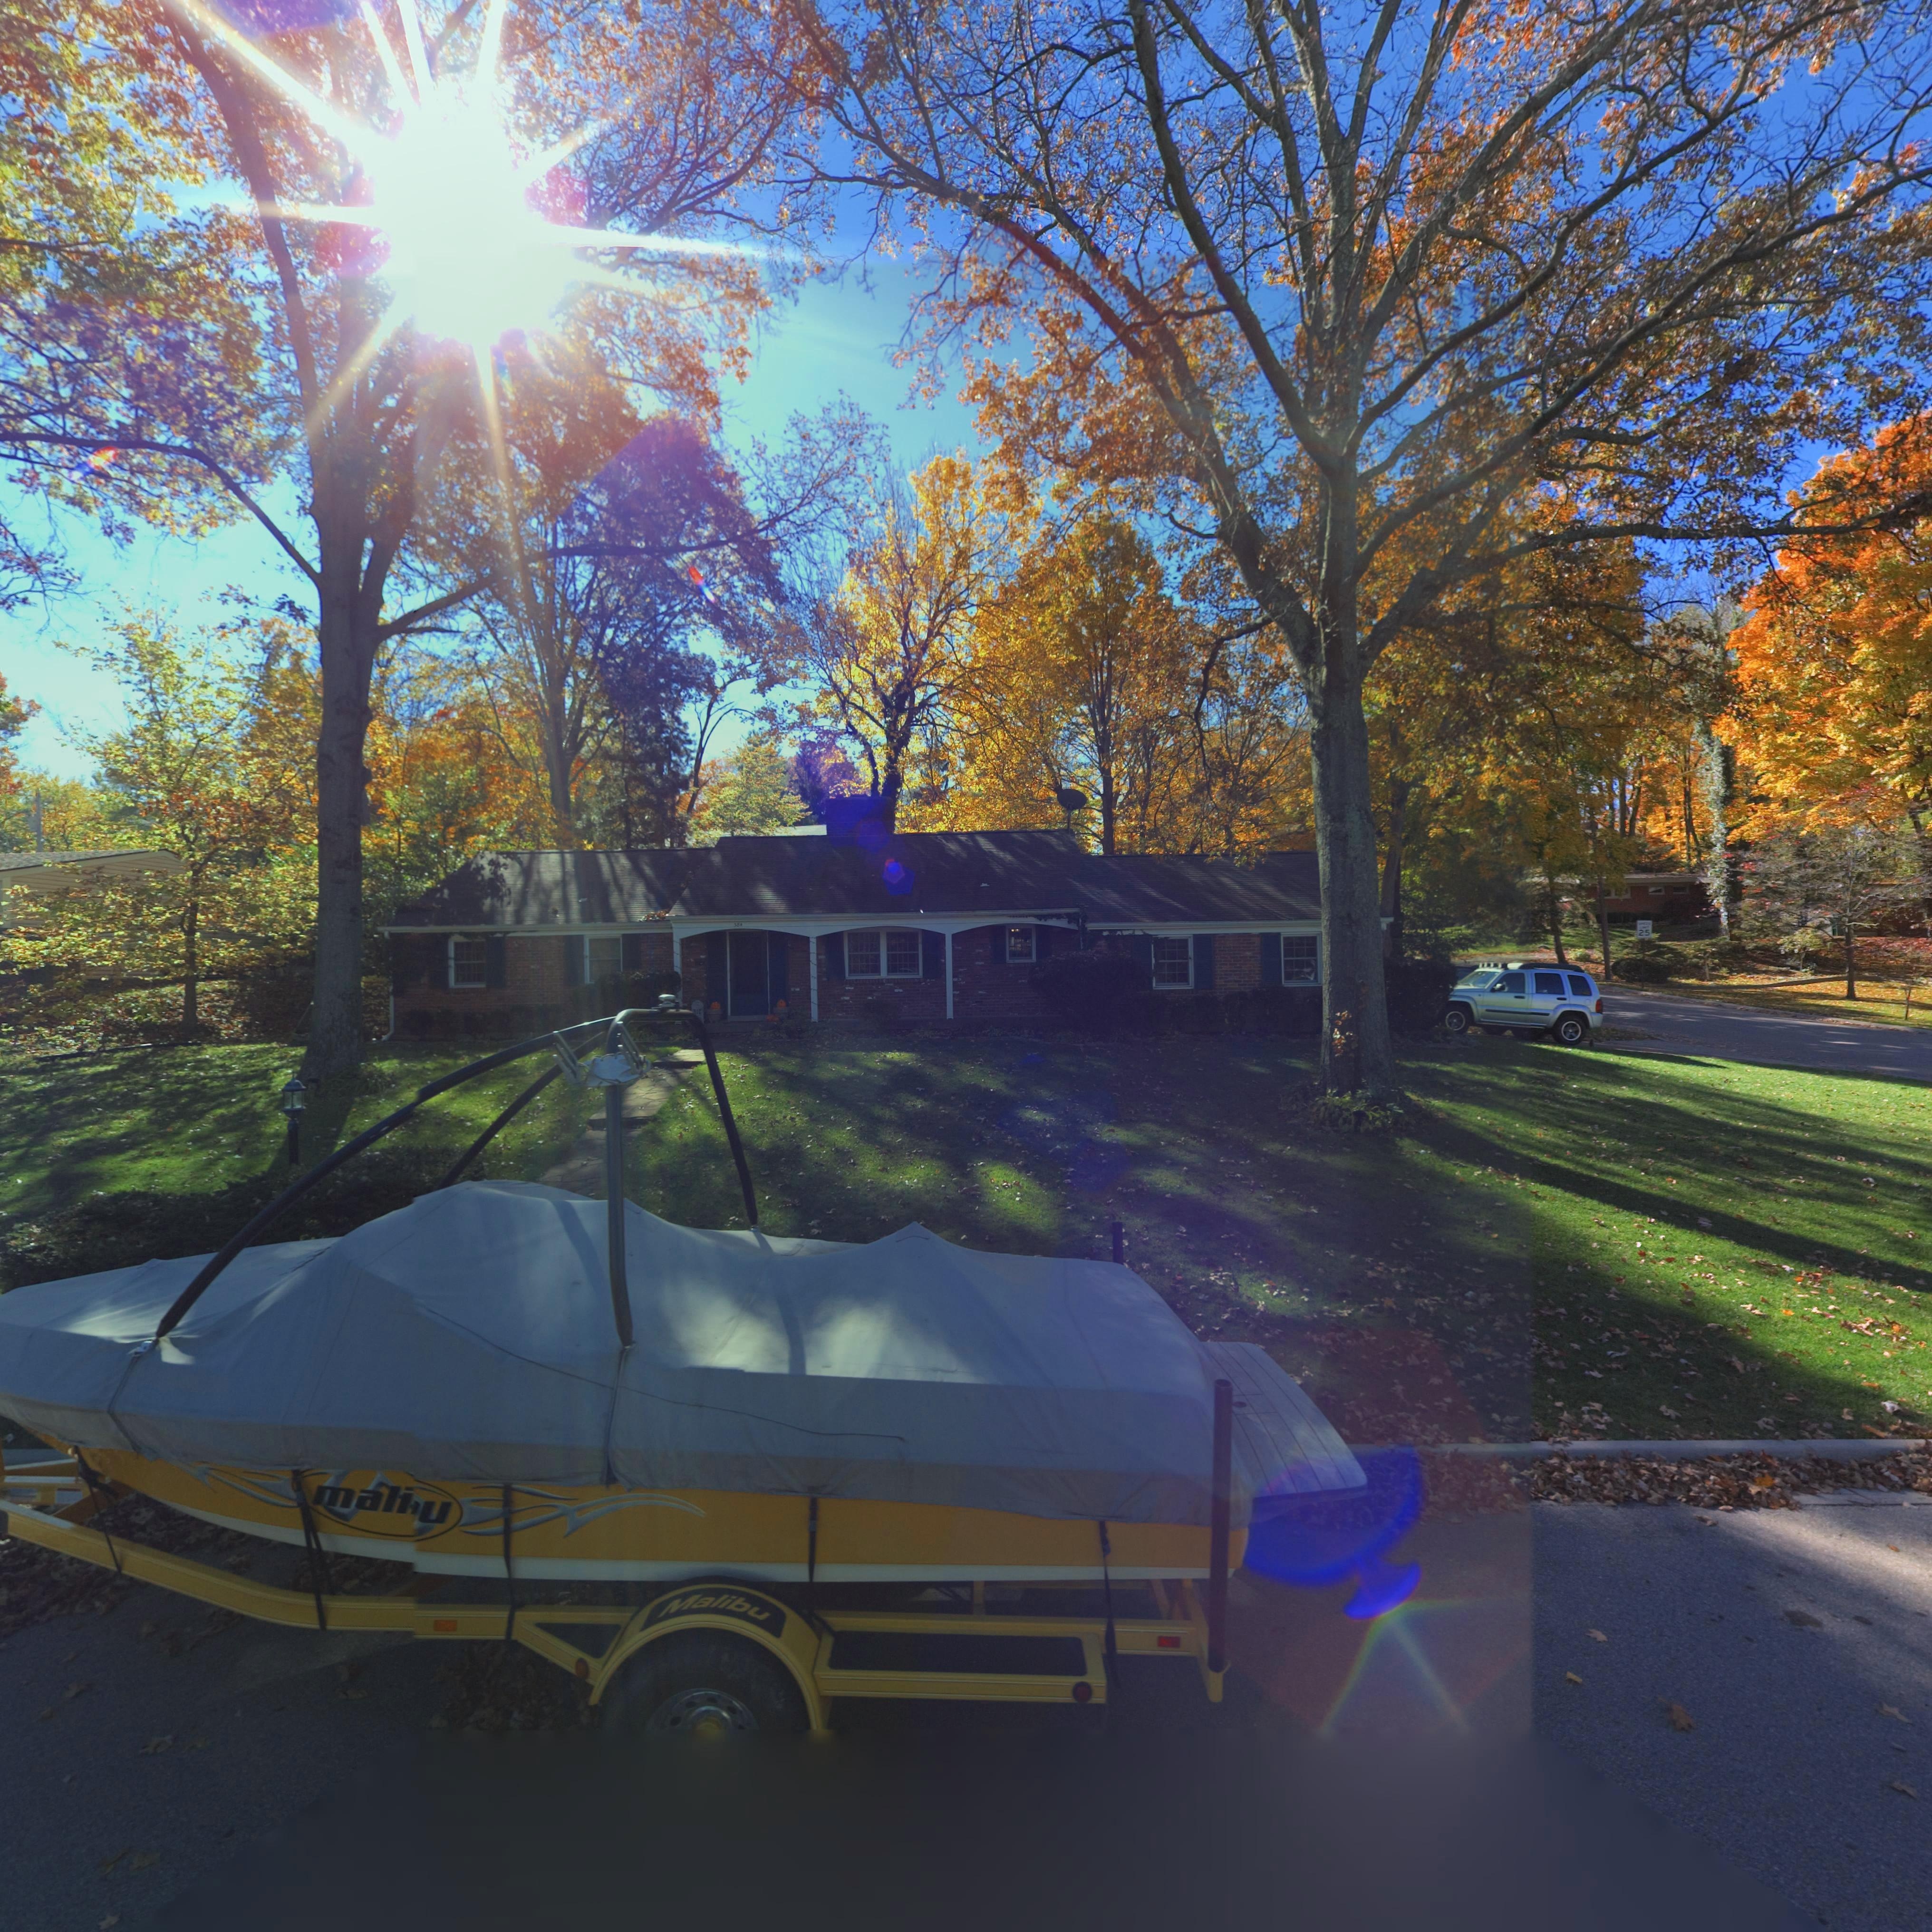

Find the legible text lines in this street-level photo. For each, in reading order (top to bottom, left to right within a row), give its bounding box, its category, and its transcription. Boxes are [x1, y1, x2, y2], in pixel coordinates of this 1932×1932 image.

[733, 922, 743, 927] StreetNumber: 384